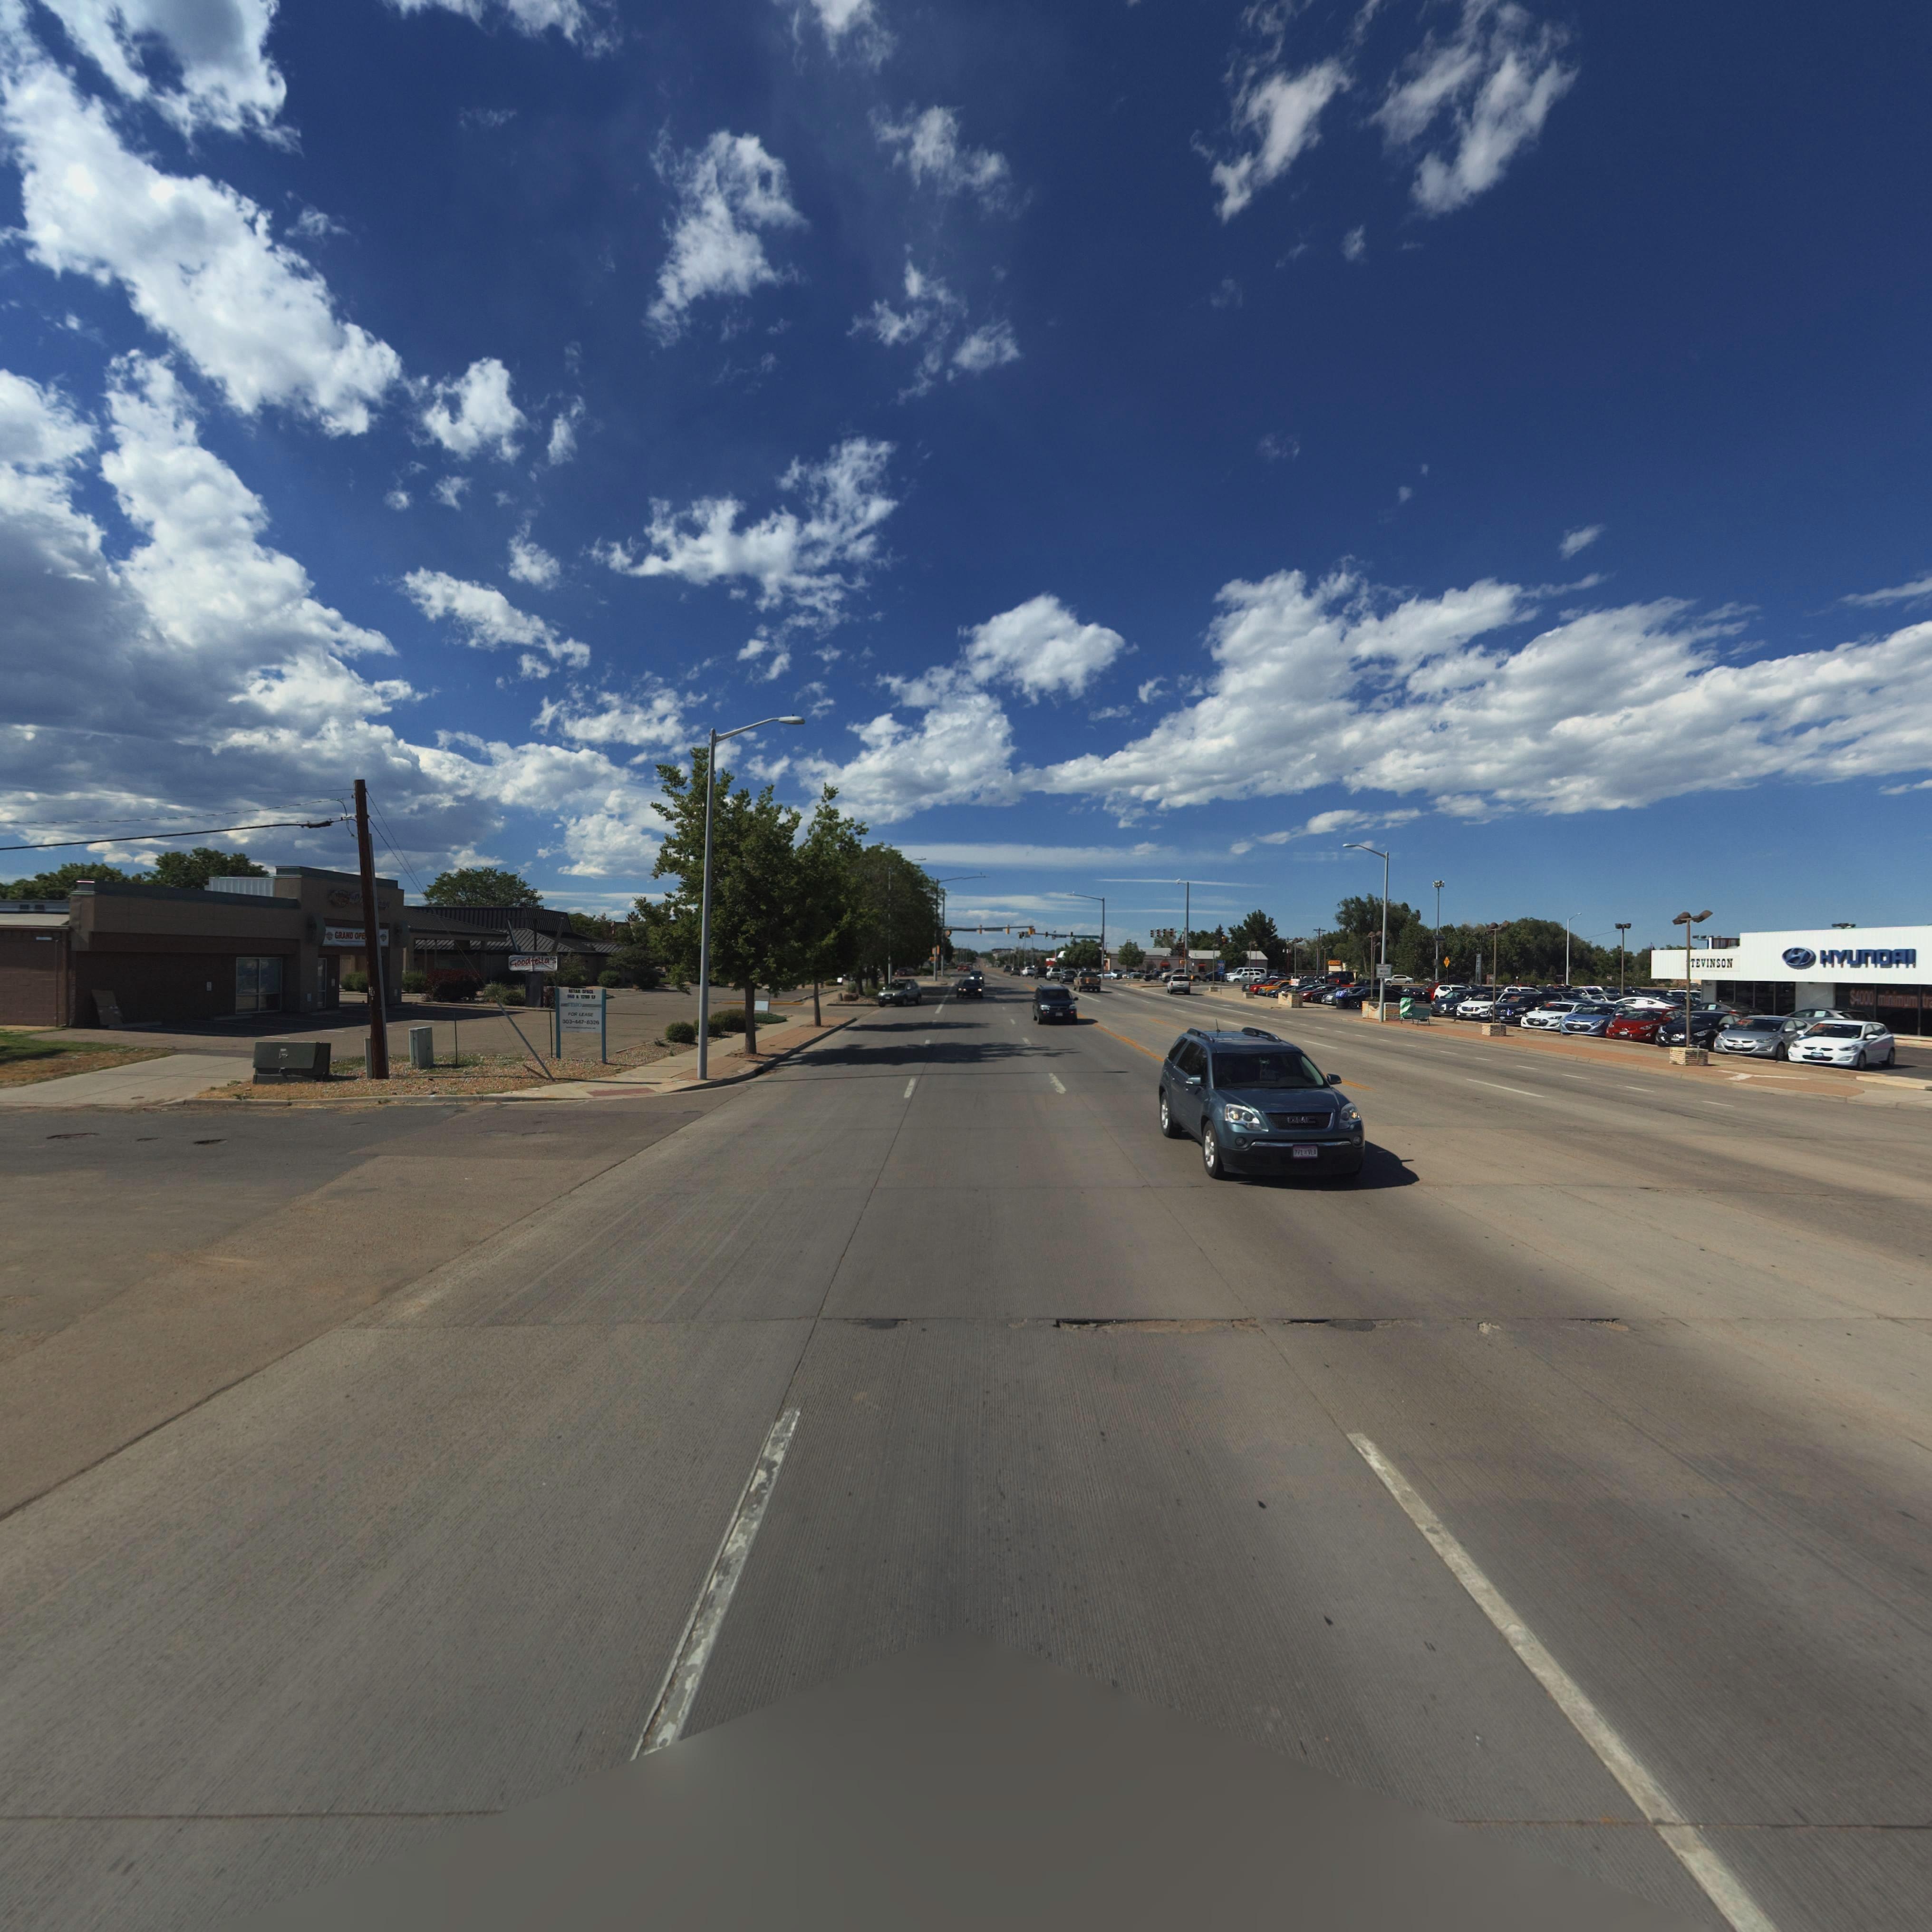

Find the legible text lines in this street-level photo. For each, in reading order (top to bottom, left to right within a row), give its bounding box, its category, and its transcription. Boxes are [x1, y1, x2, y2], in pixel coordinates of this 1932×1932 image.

[353, 891, 390, 910] BusinessName: P*****cy
[509, 955, 556, 967] BusinessName: Goodfella's
[1328, 960, 1340, 964] BusinessName: *O*
[1685, 957, 1734, 968] BusinessName: *TEVINSON
[1819, 948, 1914, 965] BusinessName: HYUnDAI